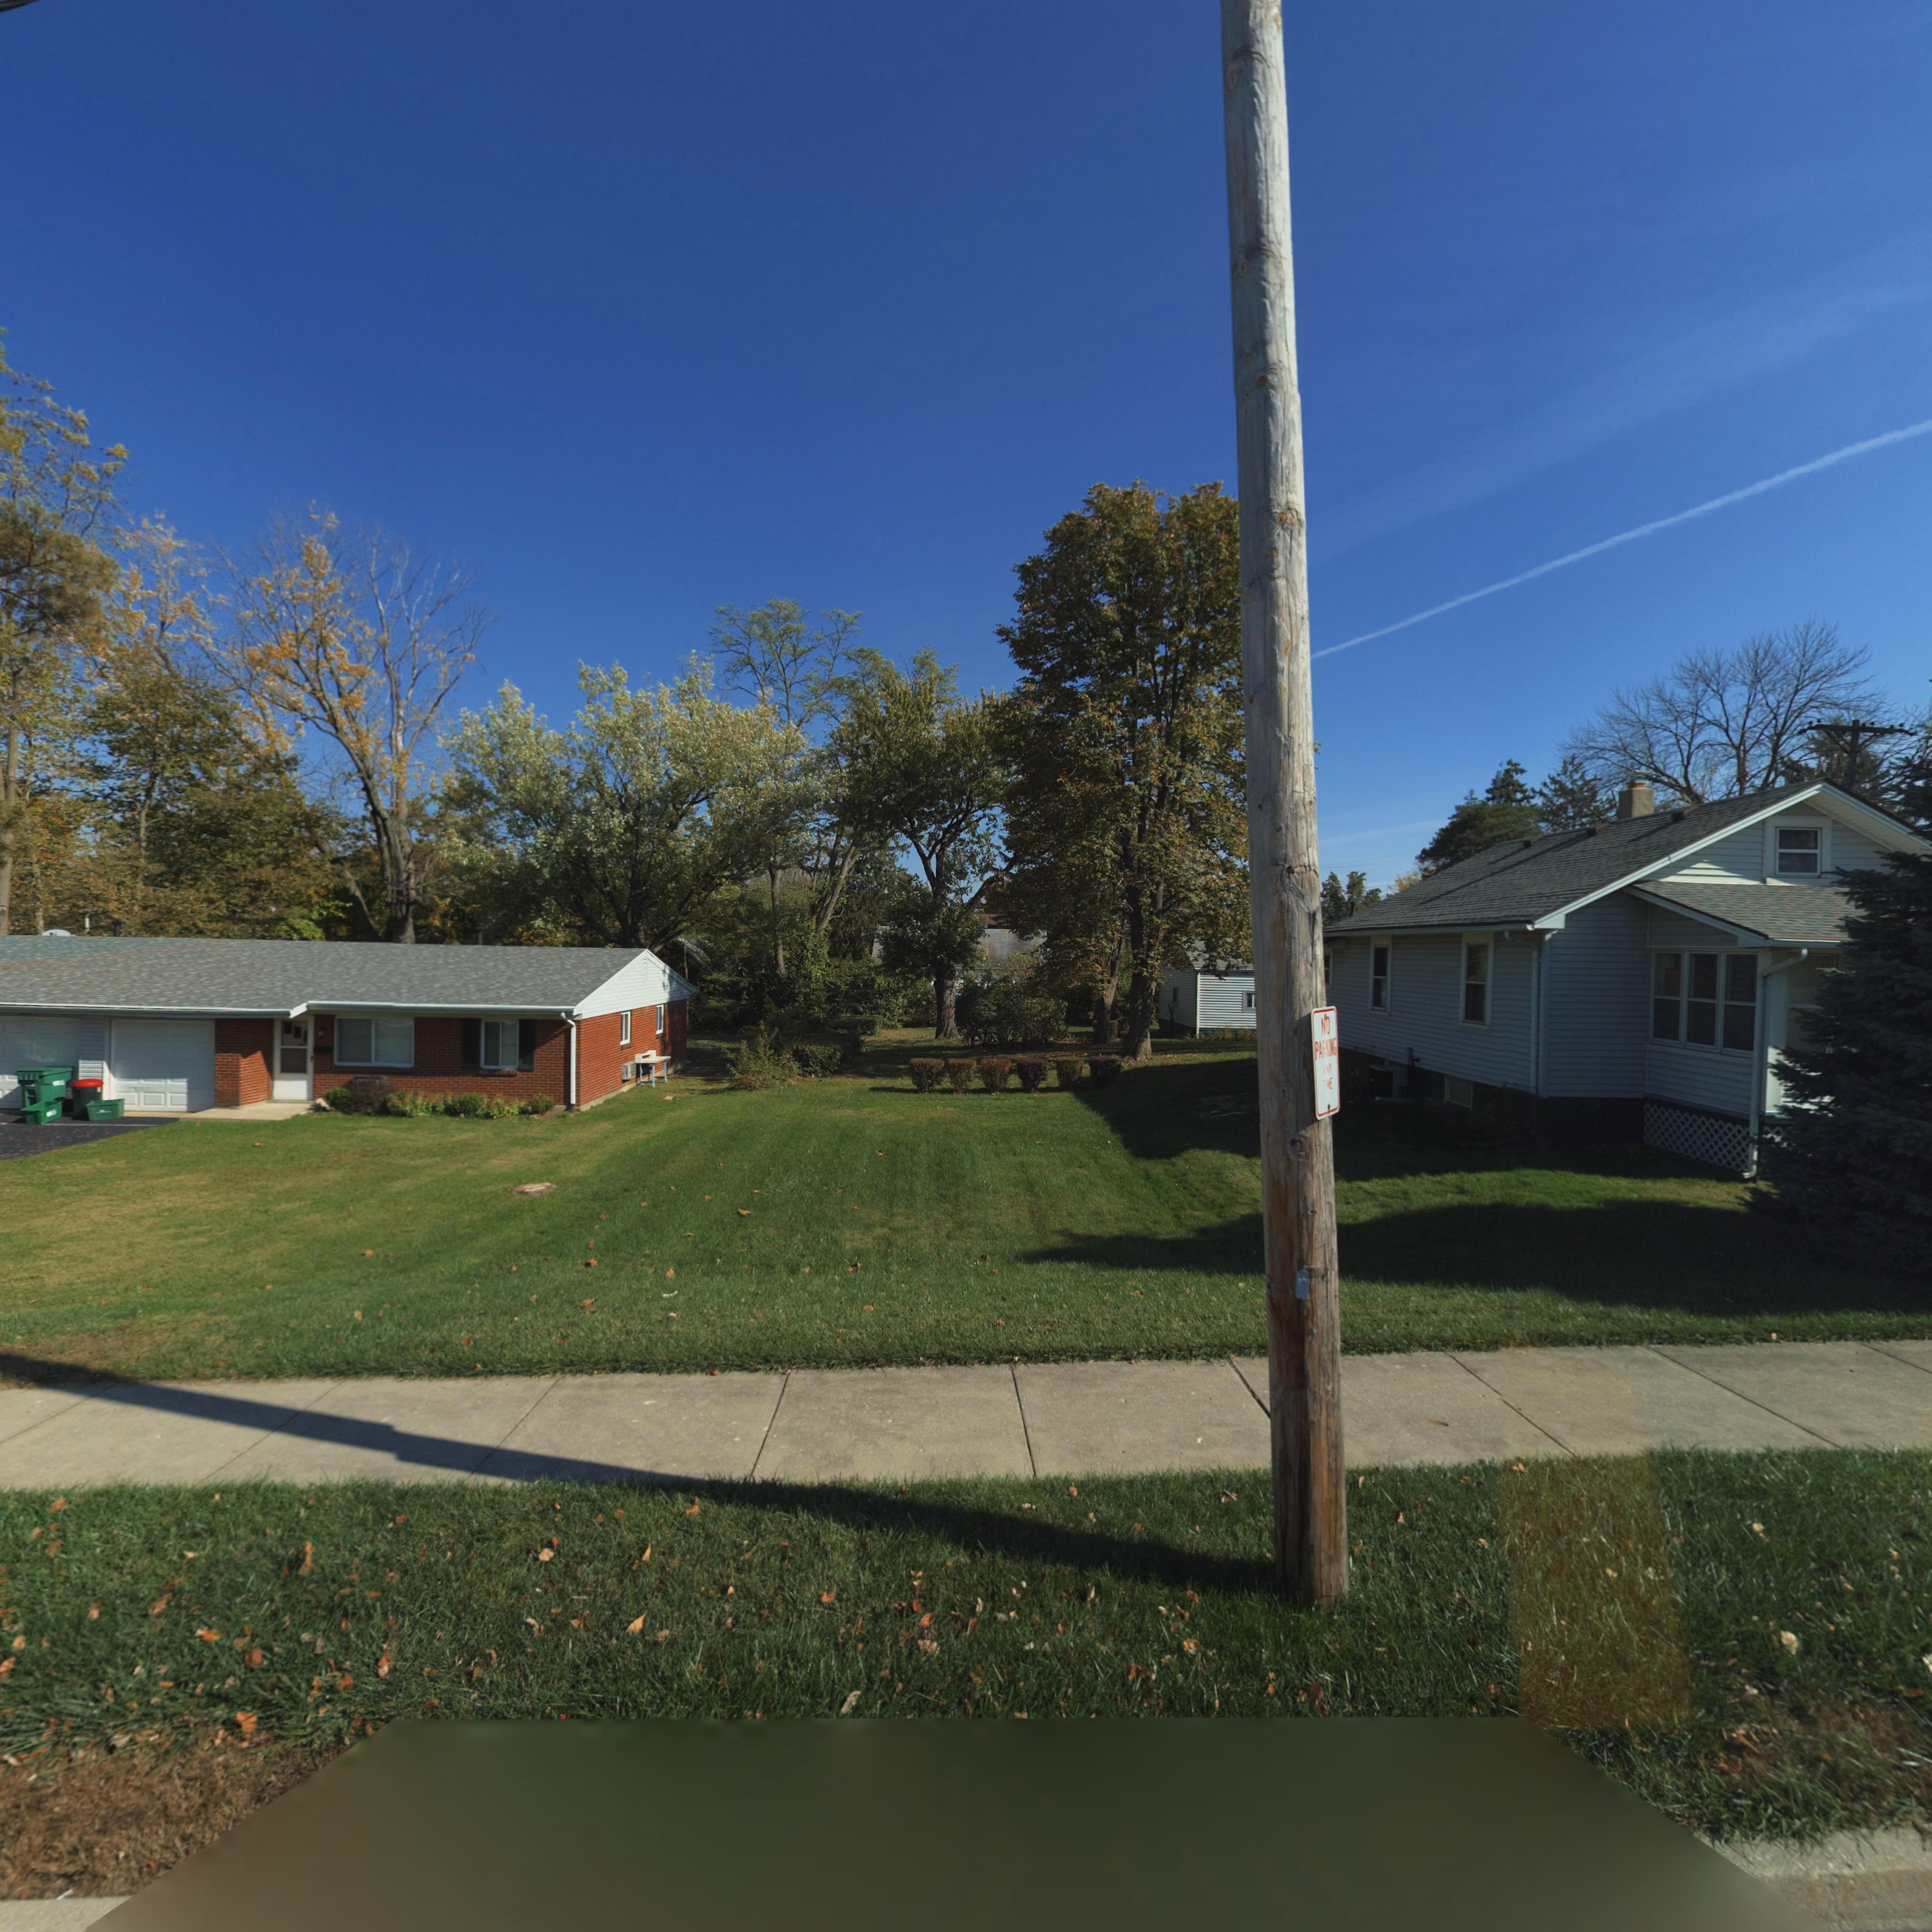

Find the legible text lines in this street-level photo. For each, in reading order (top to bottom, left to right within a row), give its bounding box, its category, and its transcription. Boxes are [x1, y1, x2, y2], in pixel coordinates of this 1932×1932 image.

[1320, 1015, 1331, 1036] None: NO
[1314, 1036, 1339, 1061] None: PARKING
[1323, 1062, 1333, 1078] None: ANY
[1323, 1076, 1333, 1094] None: TIME